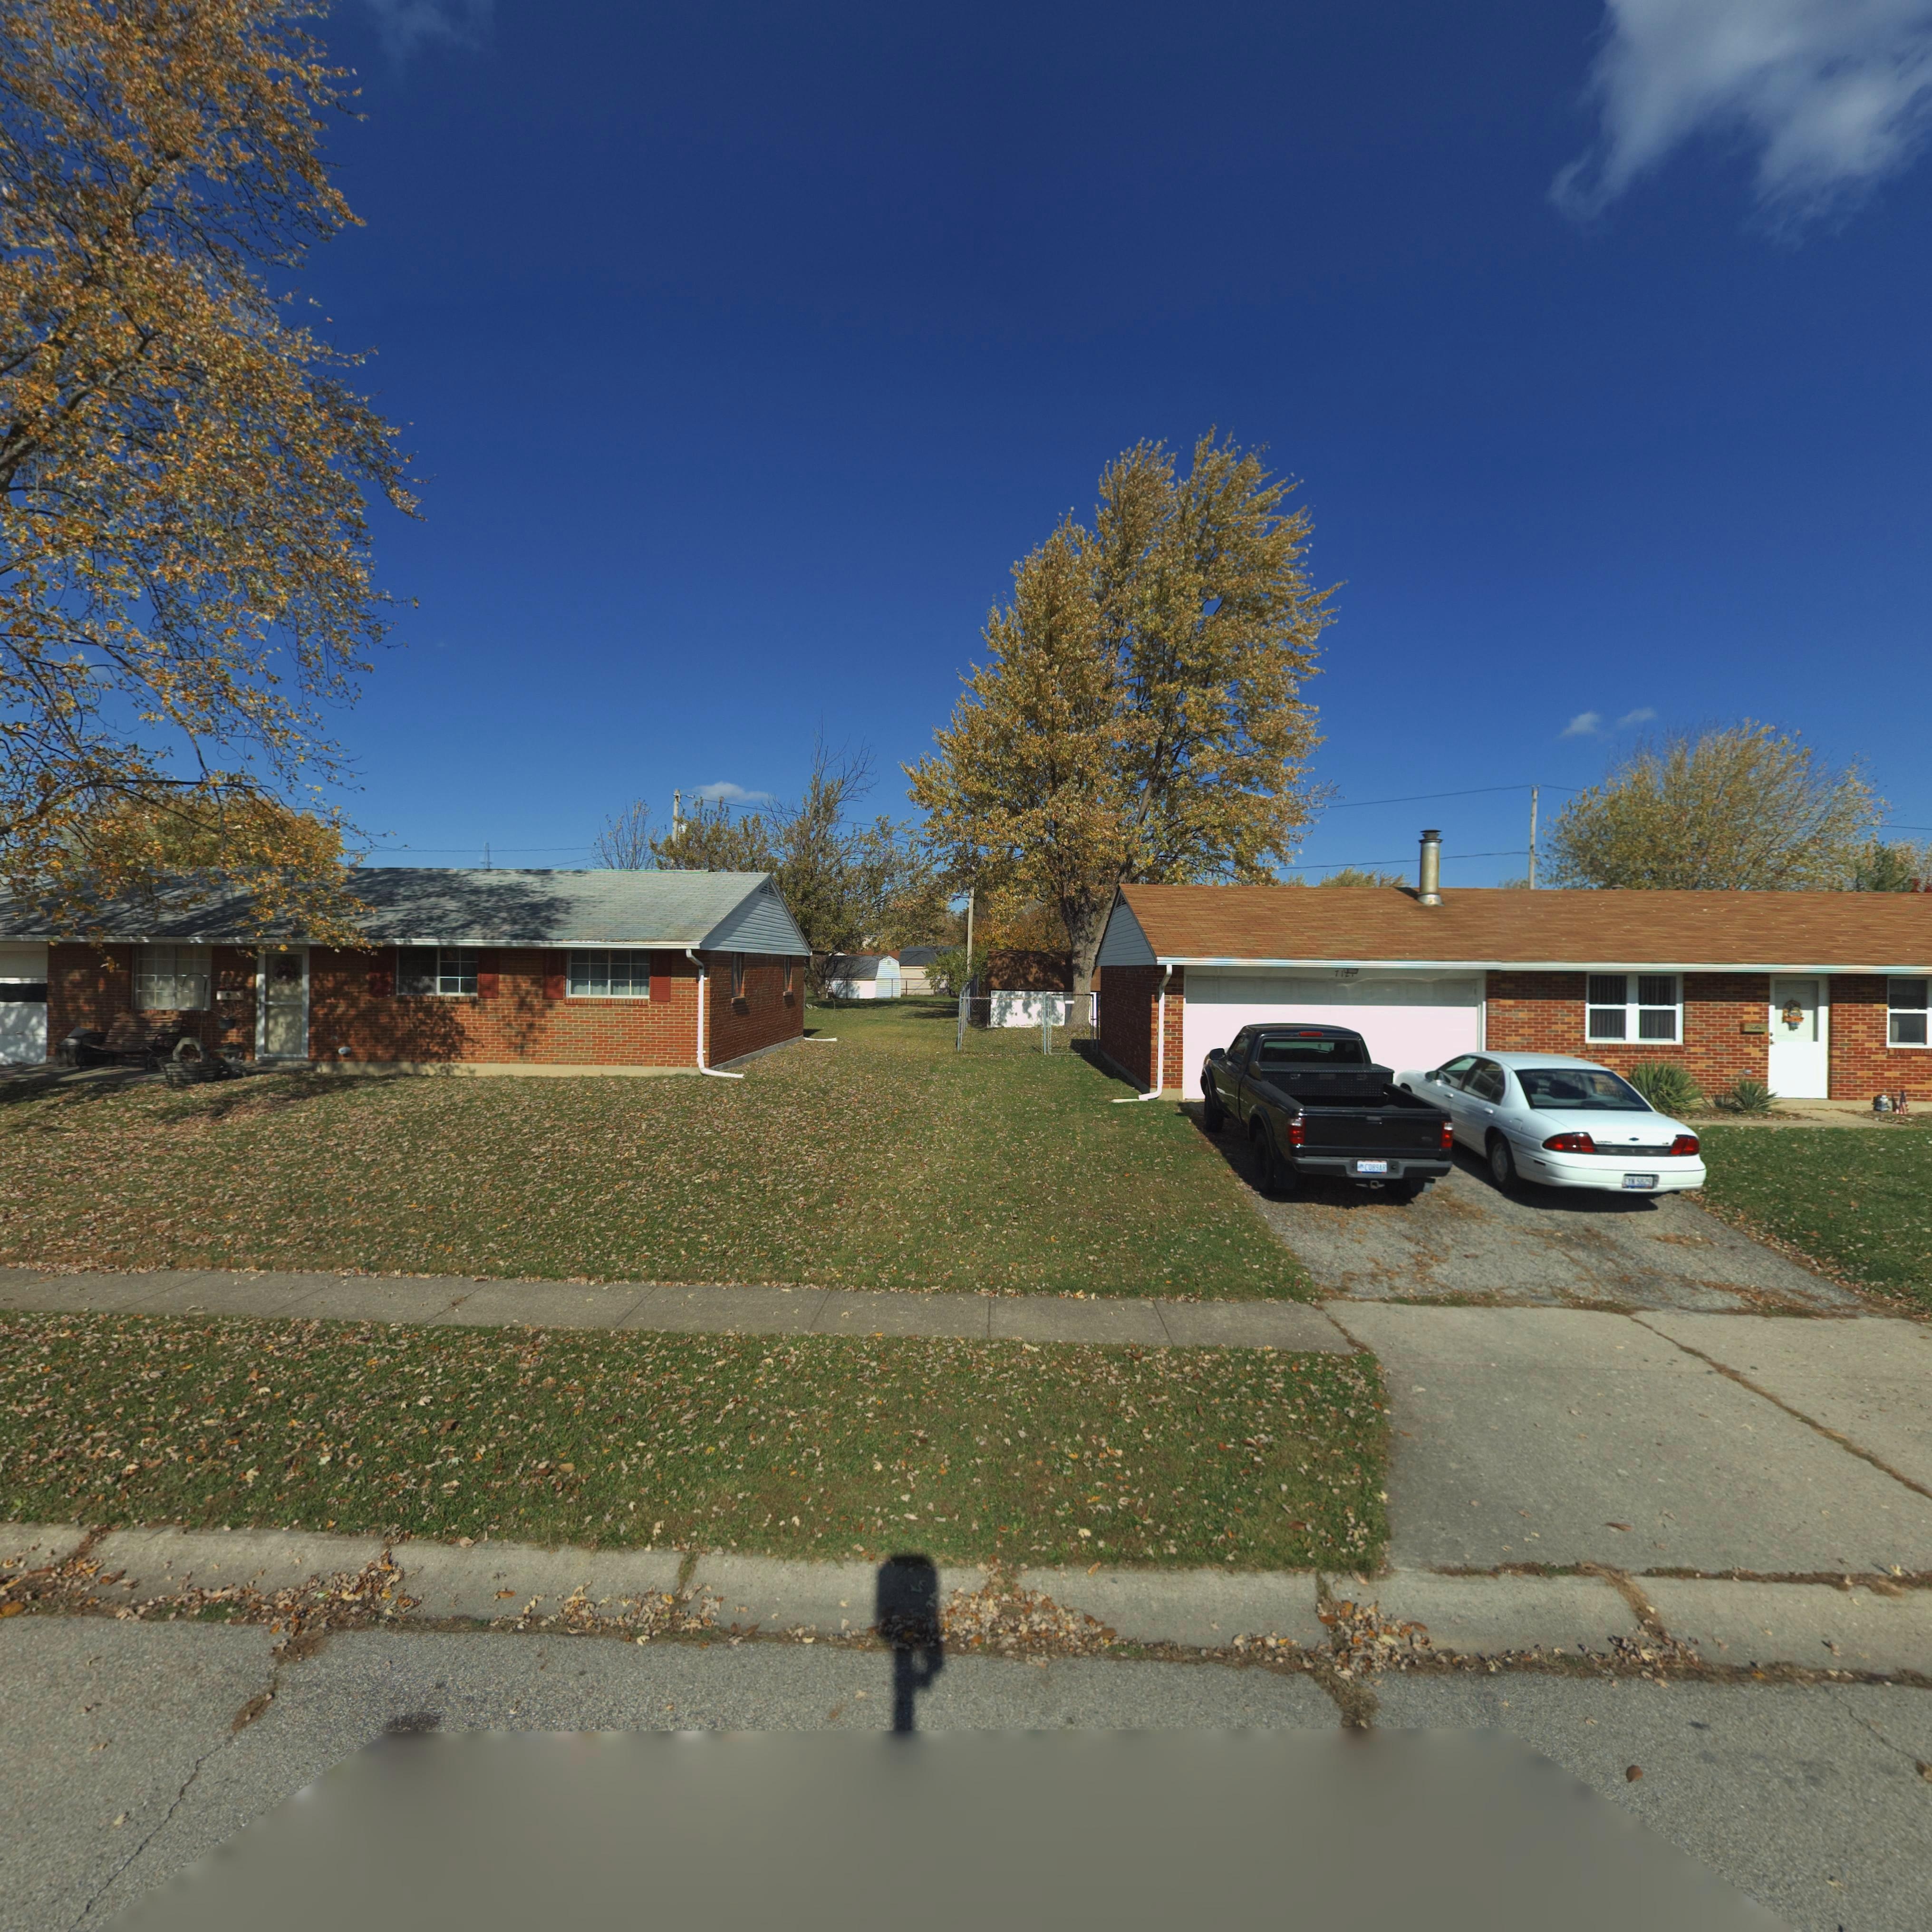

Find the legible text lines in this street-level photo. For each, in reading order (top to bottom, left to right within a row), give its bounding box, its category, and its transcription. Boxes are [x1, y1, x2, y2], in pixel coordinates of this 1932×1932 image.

[1333, 969, 1344, 978] StreetNumber: 71